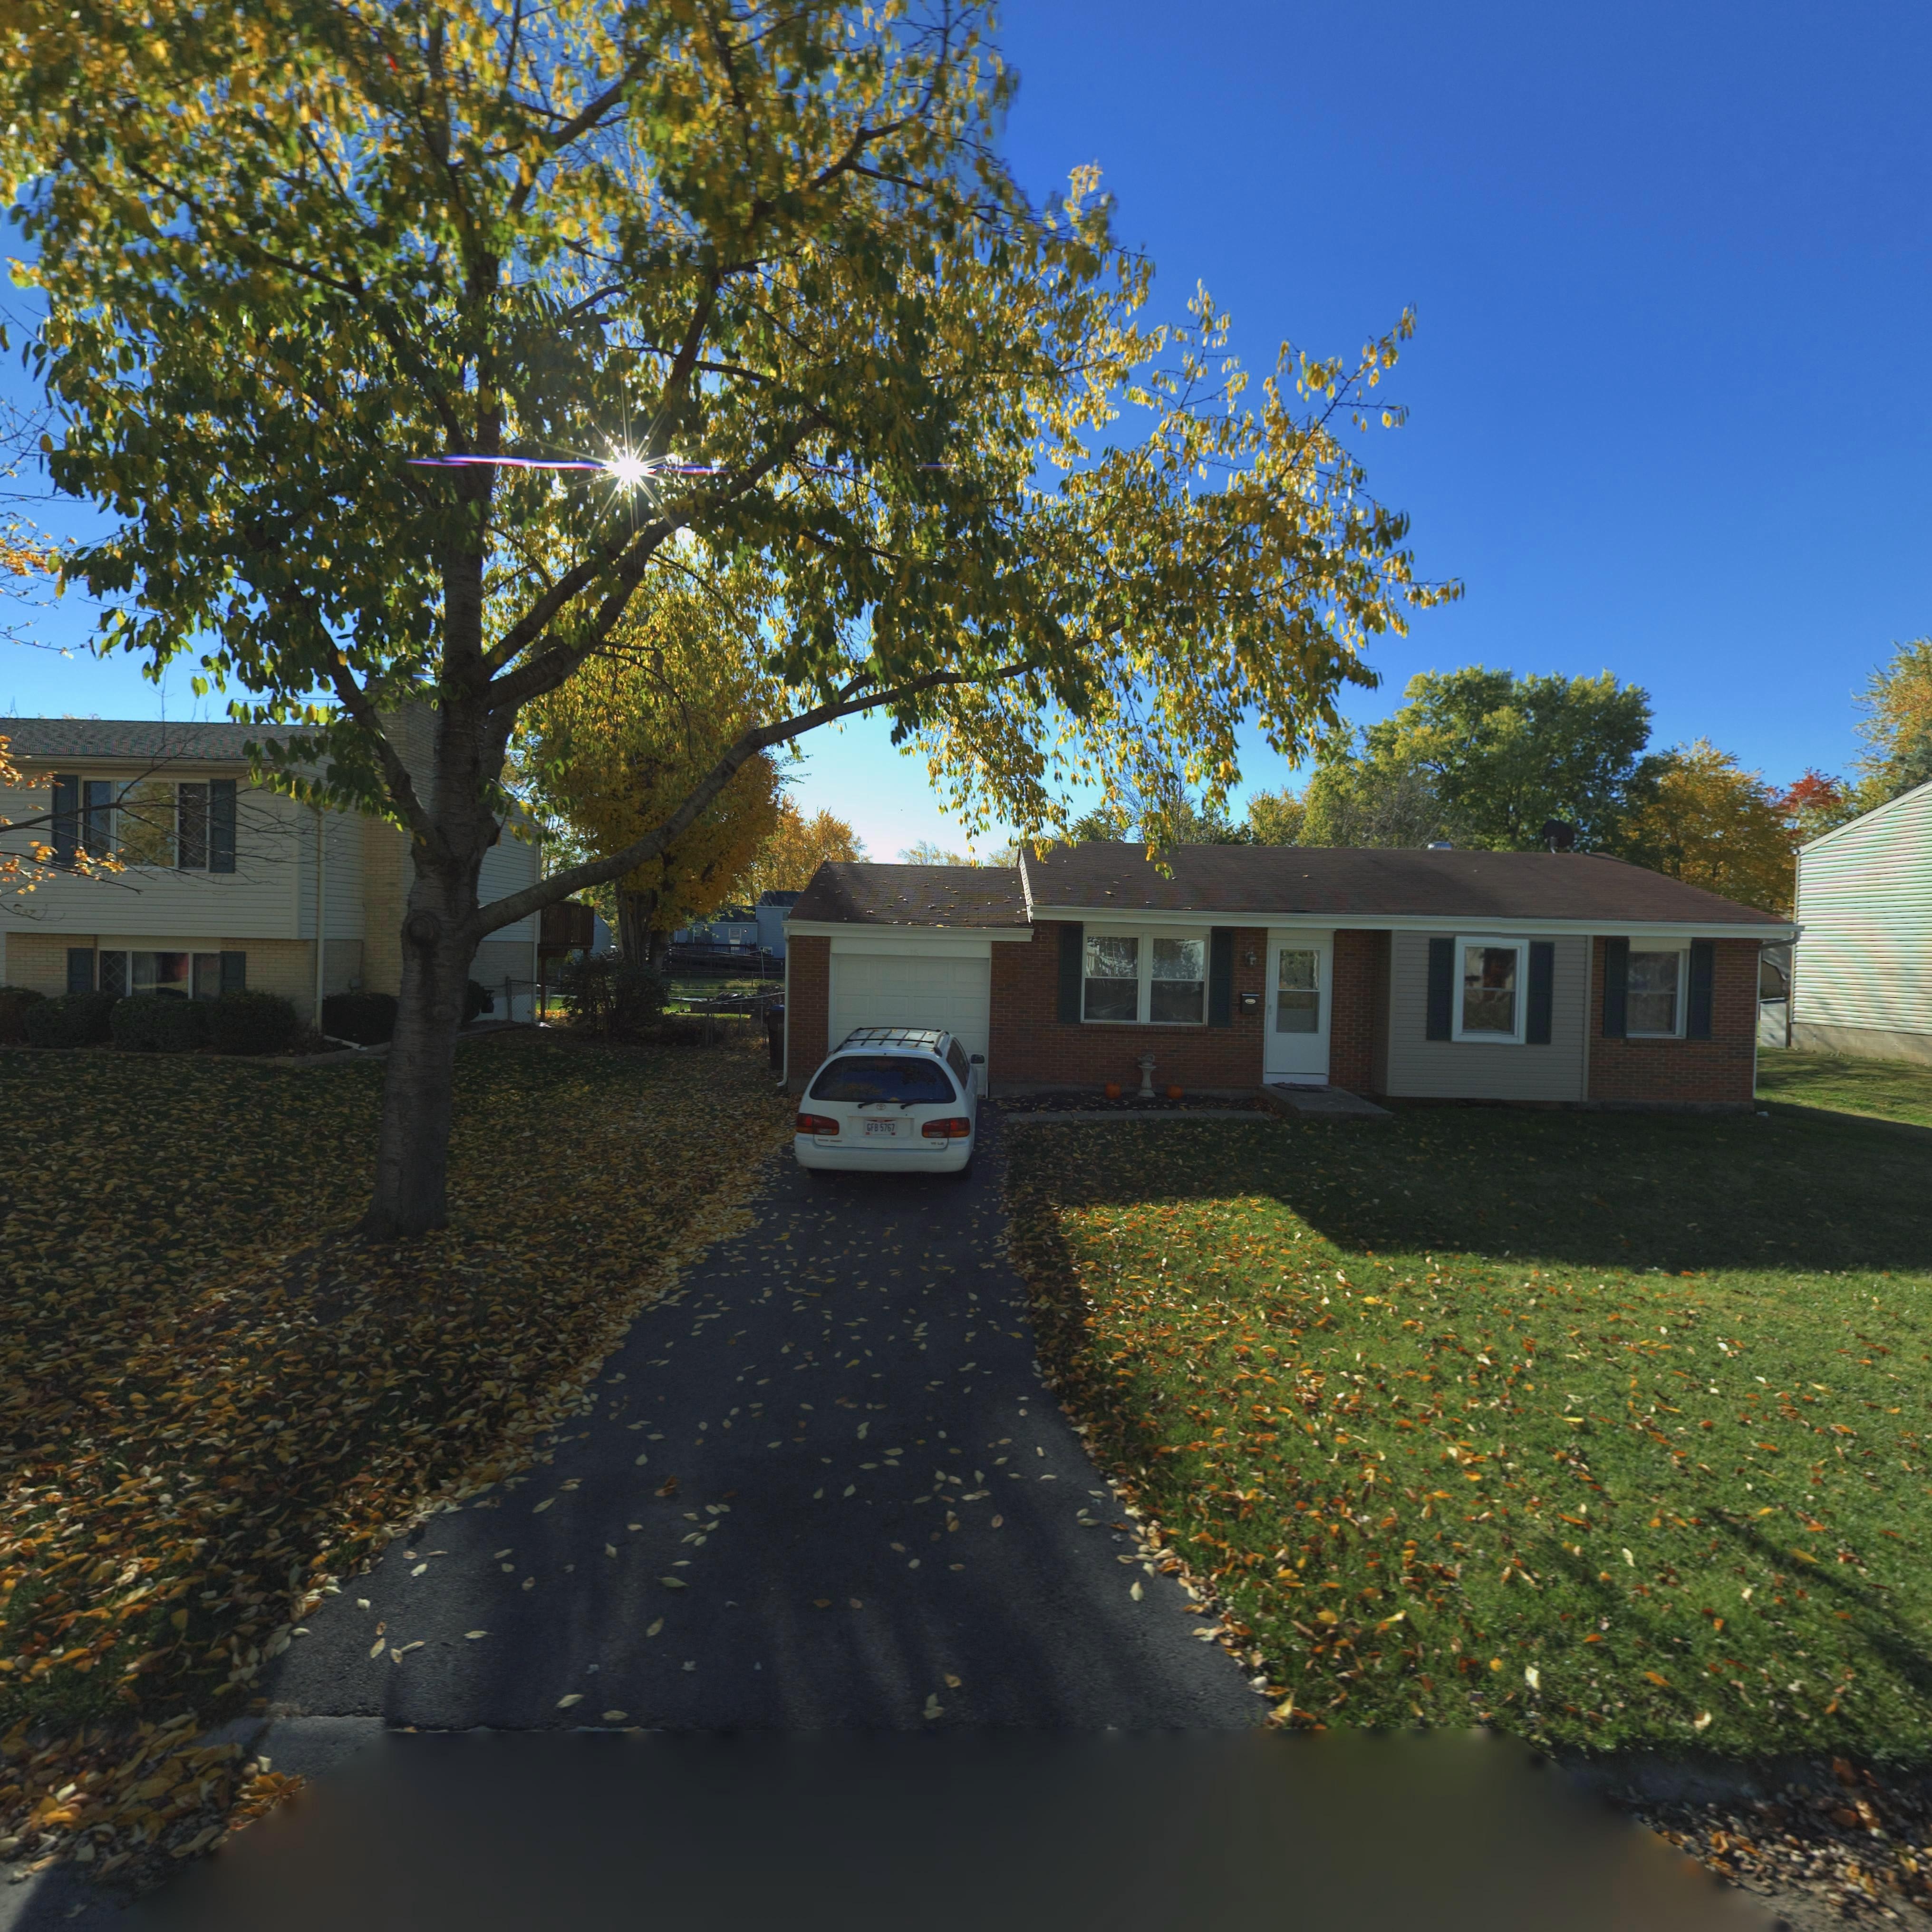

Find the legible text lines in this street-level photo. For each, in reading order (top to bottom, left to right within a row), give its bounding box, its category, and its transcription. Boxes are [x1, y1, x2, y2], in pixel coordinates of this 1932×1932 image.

[905, 948, 919, 956] StreetNumber: 115